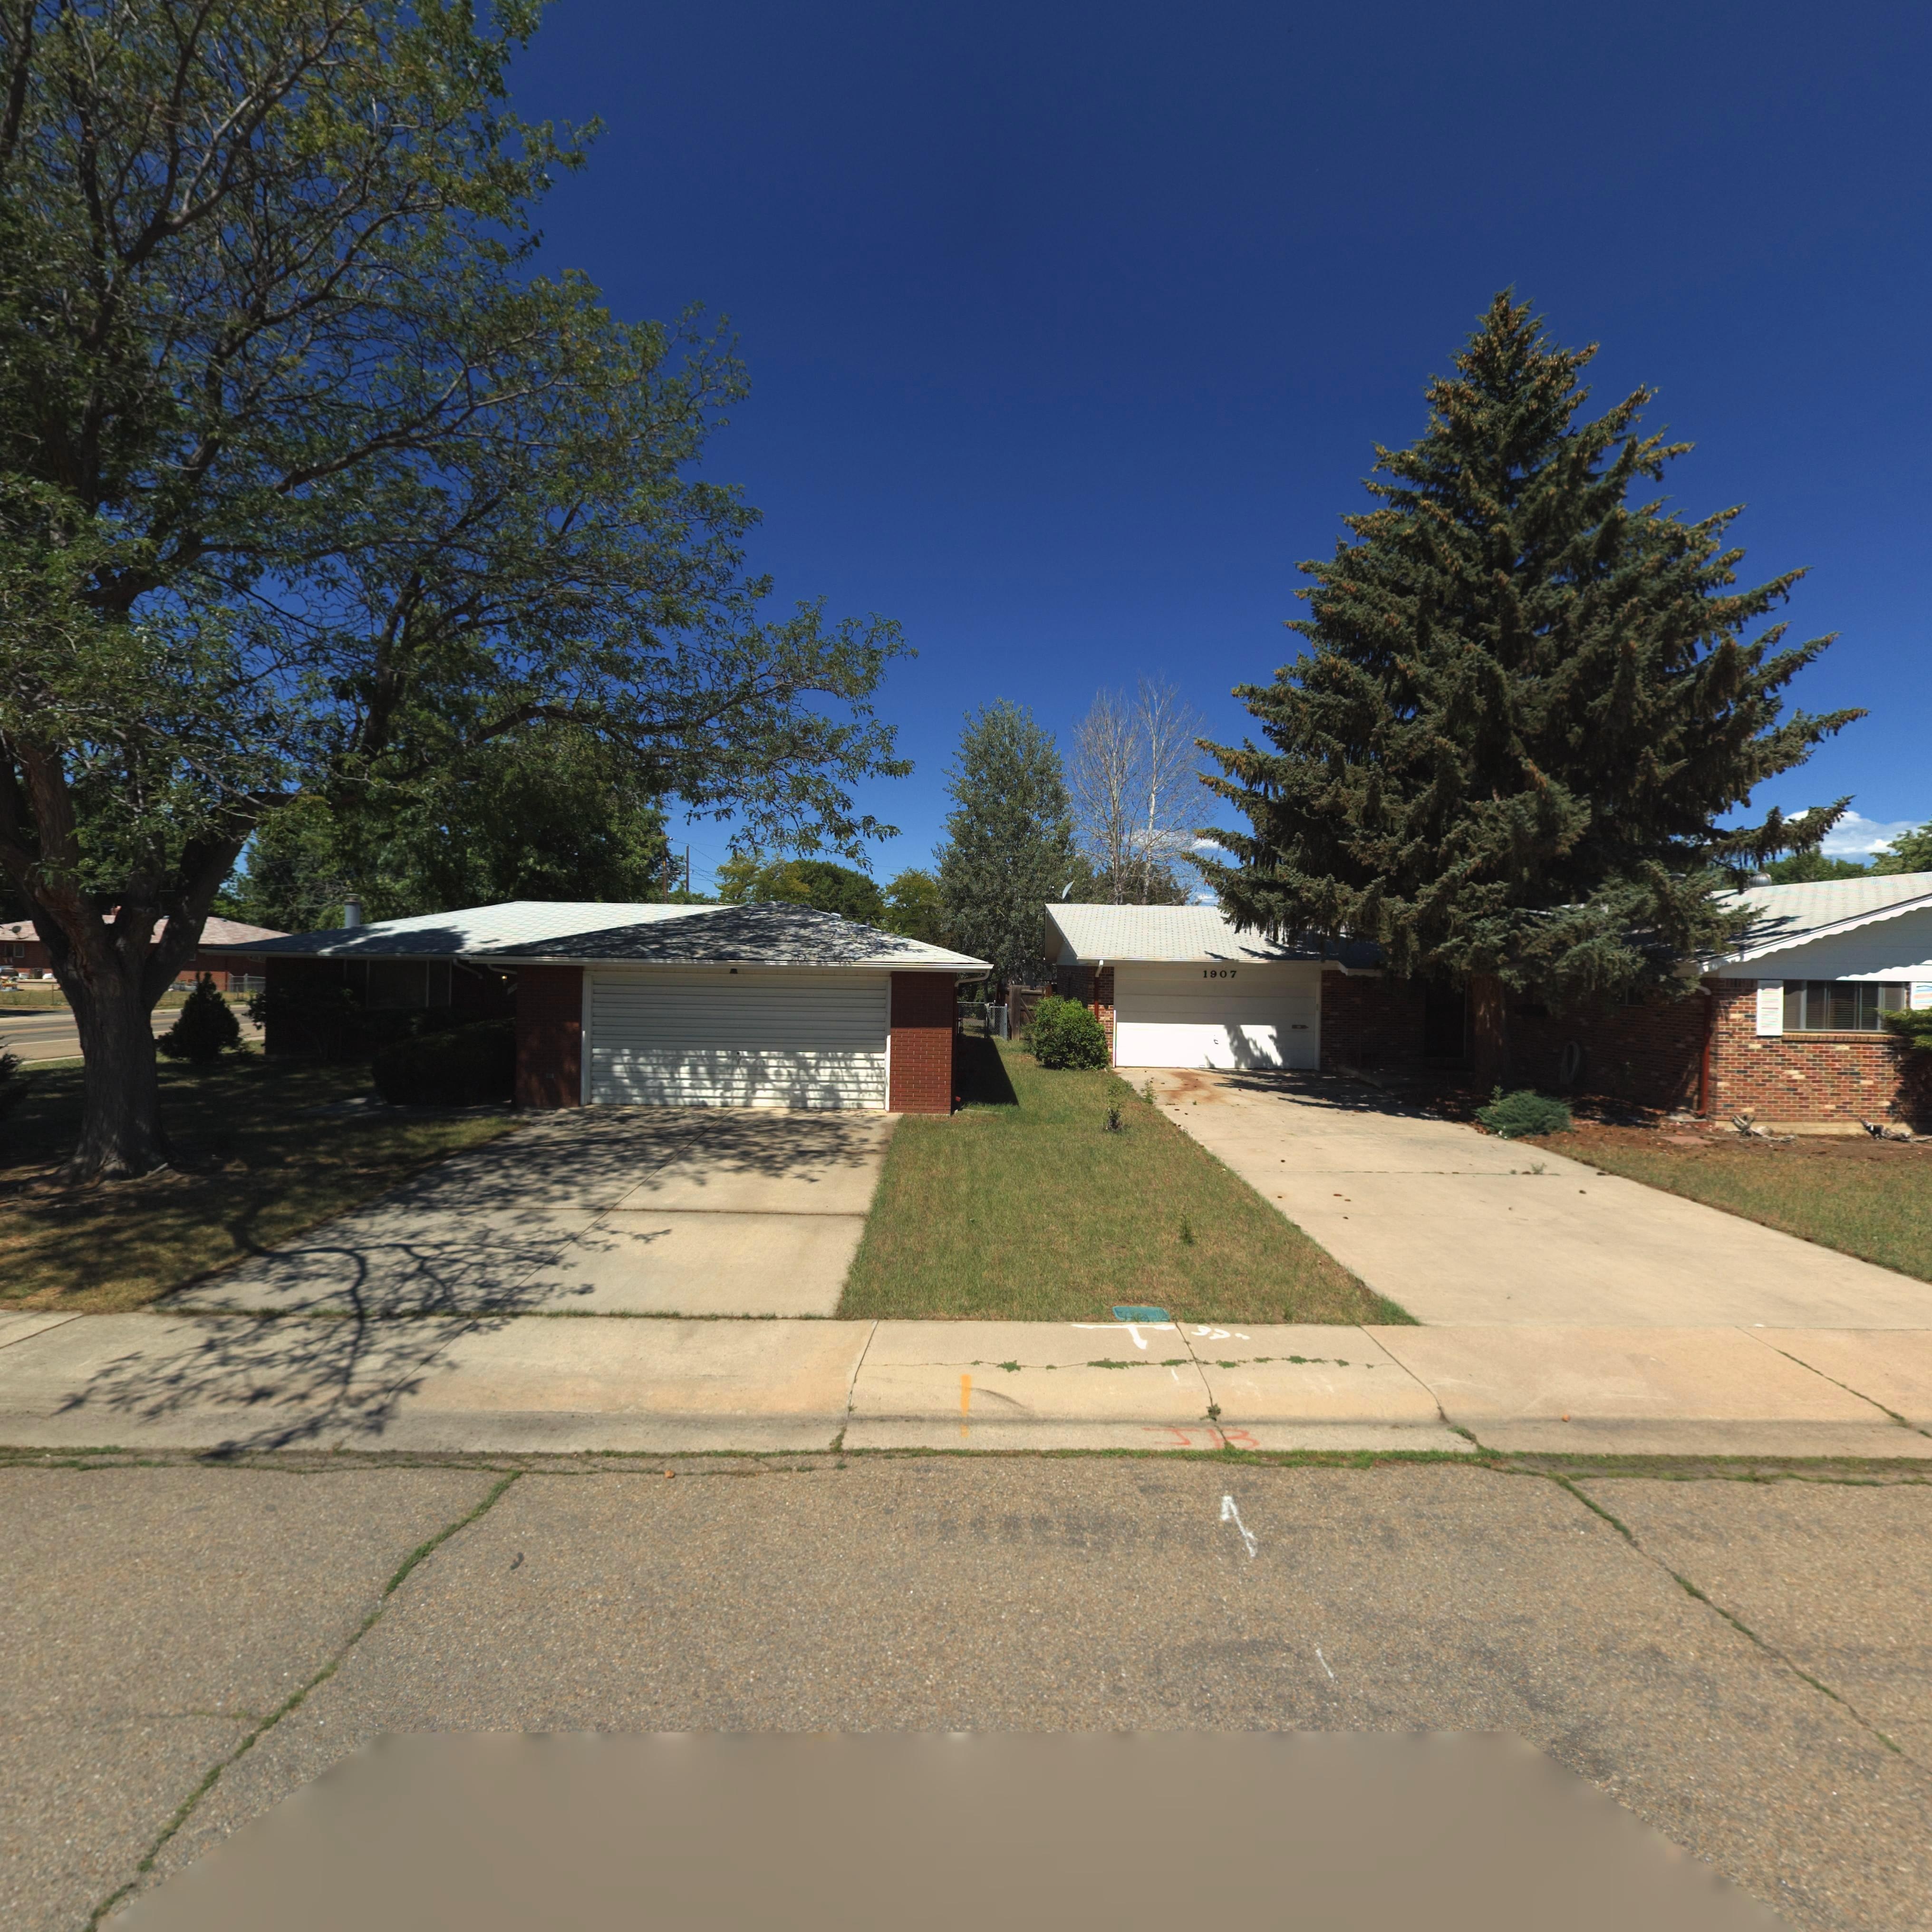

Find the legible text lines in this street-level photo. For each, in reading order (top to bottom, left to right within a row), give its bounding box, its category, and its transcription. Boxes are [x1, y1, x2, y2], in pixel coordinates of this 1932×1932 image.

[1202, 969, 1237, 979] StreetNumber: 1907
[508, 981, 518, 993] StreetNumber: 19*